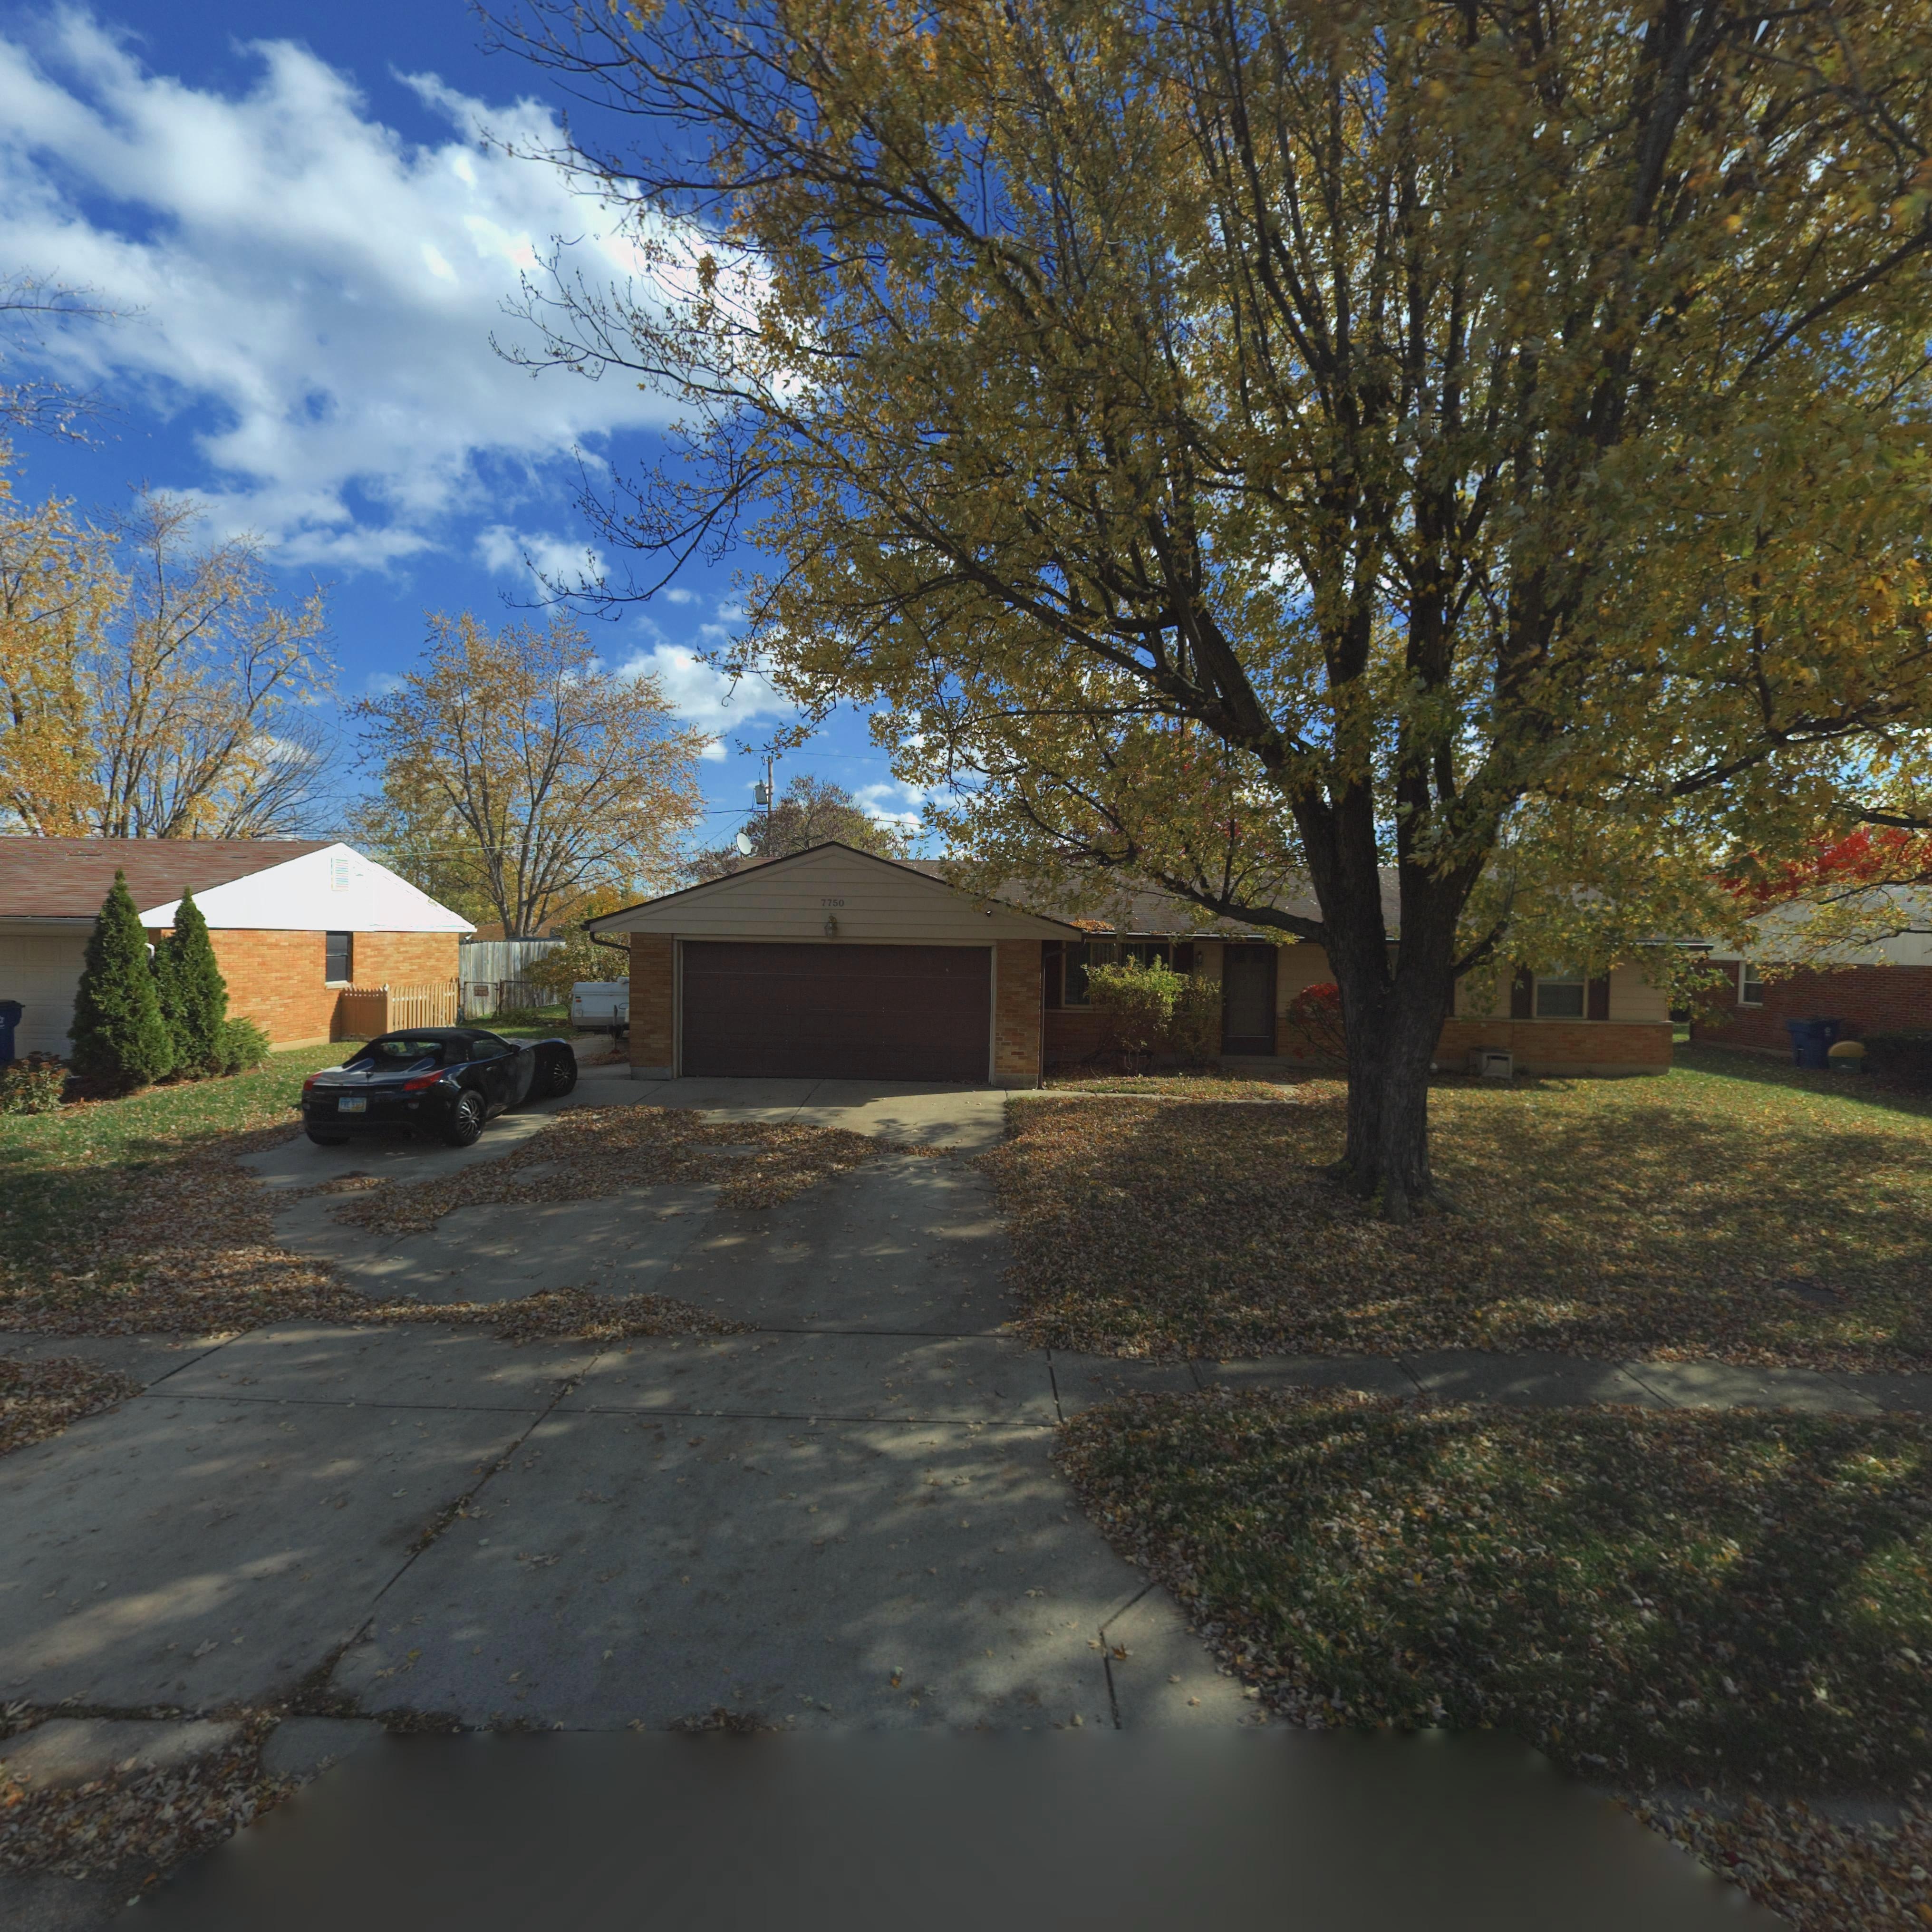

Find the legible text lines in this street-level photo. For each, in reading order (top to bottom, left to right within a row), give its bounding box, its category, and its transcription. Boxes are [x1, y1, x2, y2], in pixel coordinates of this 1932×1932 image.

[821, 898, 844, 907] StreetNumber: 7750